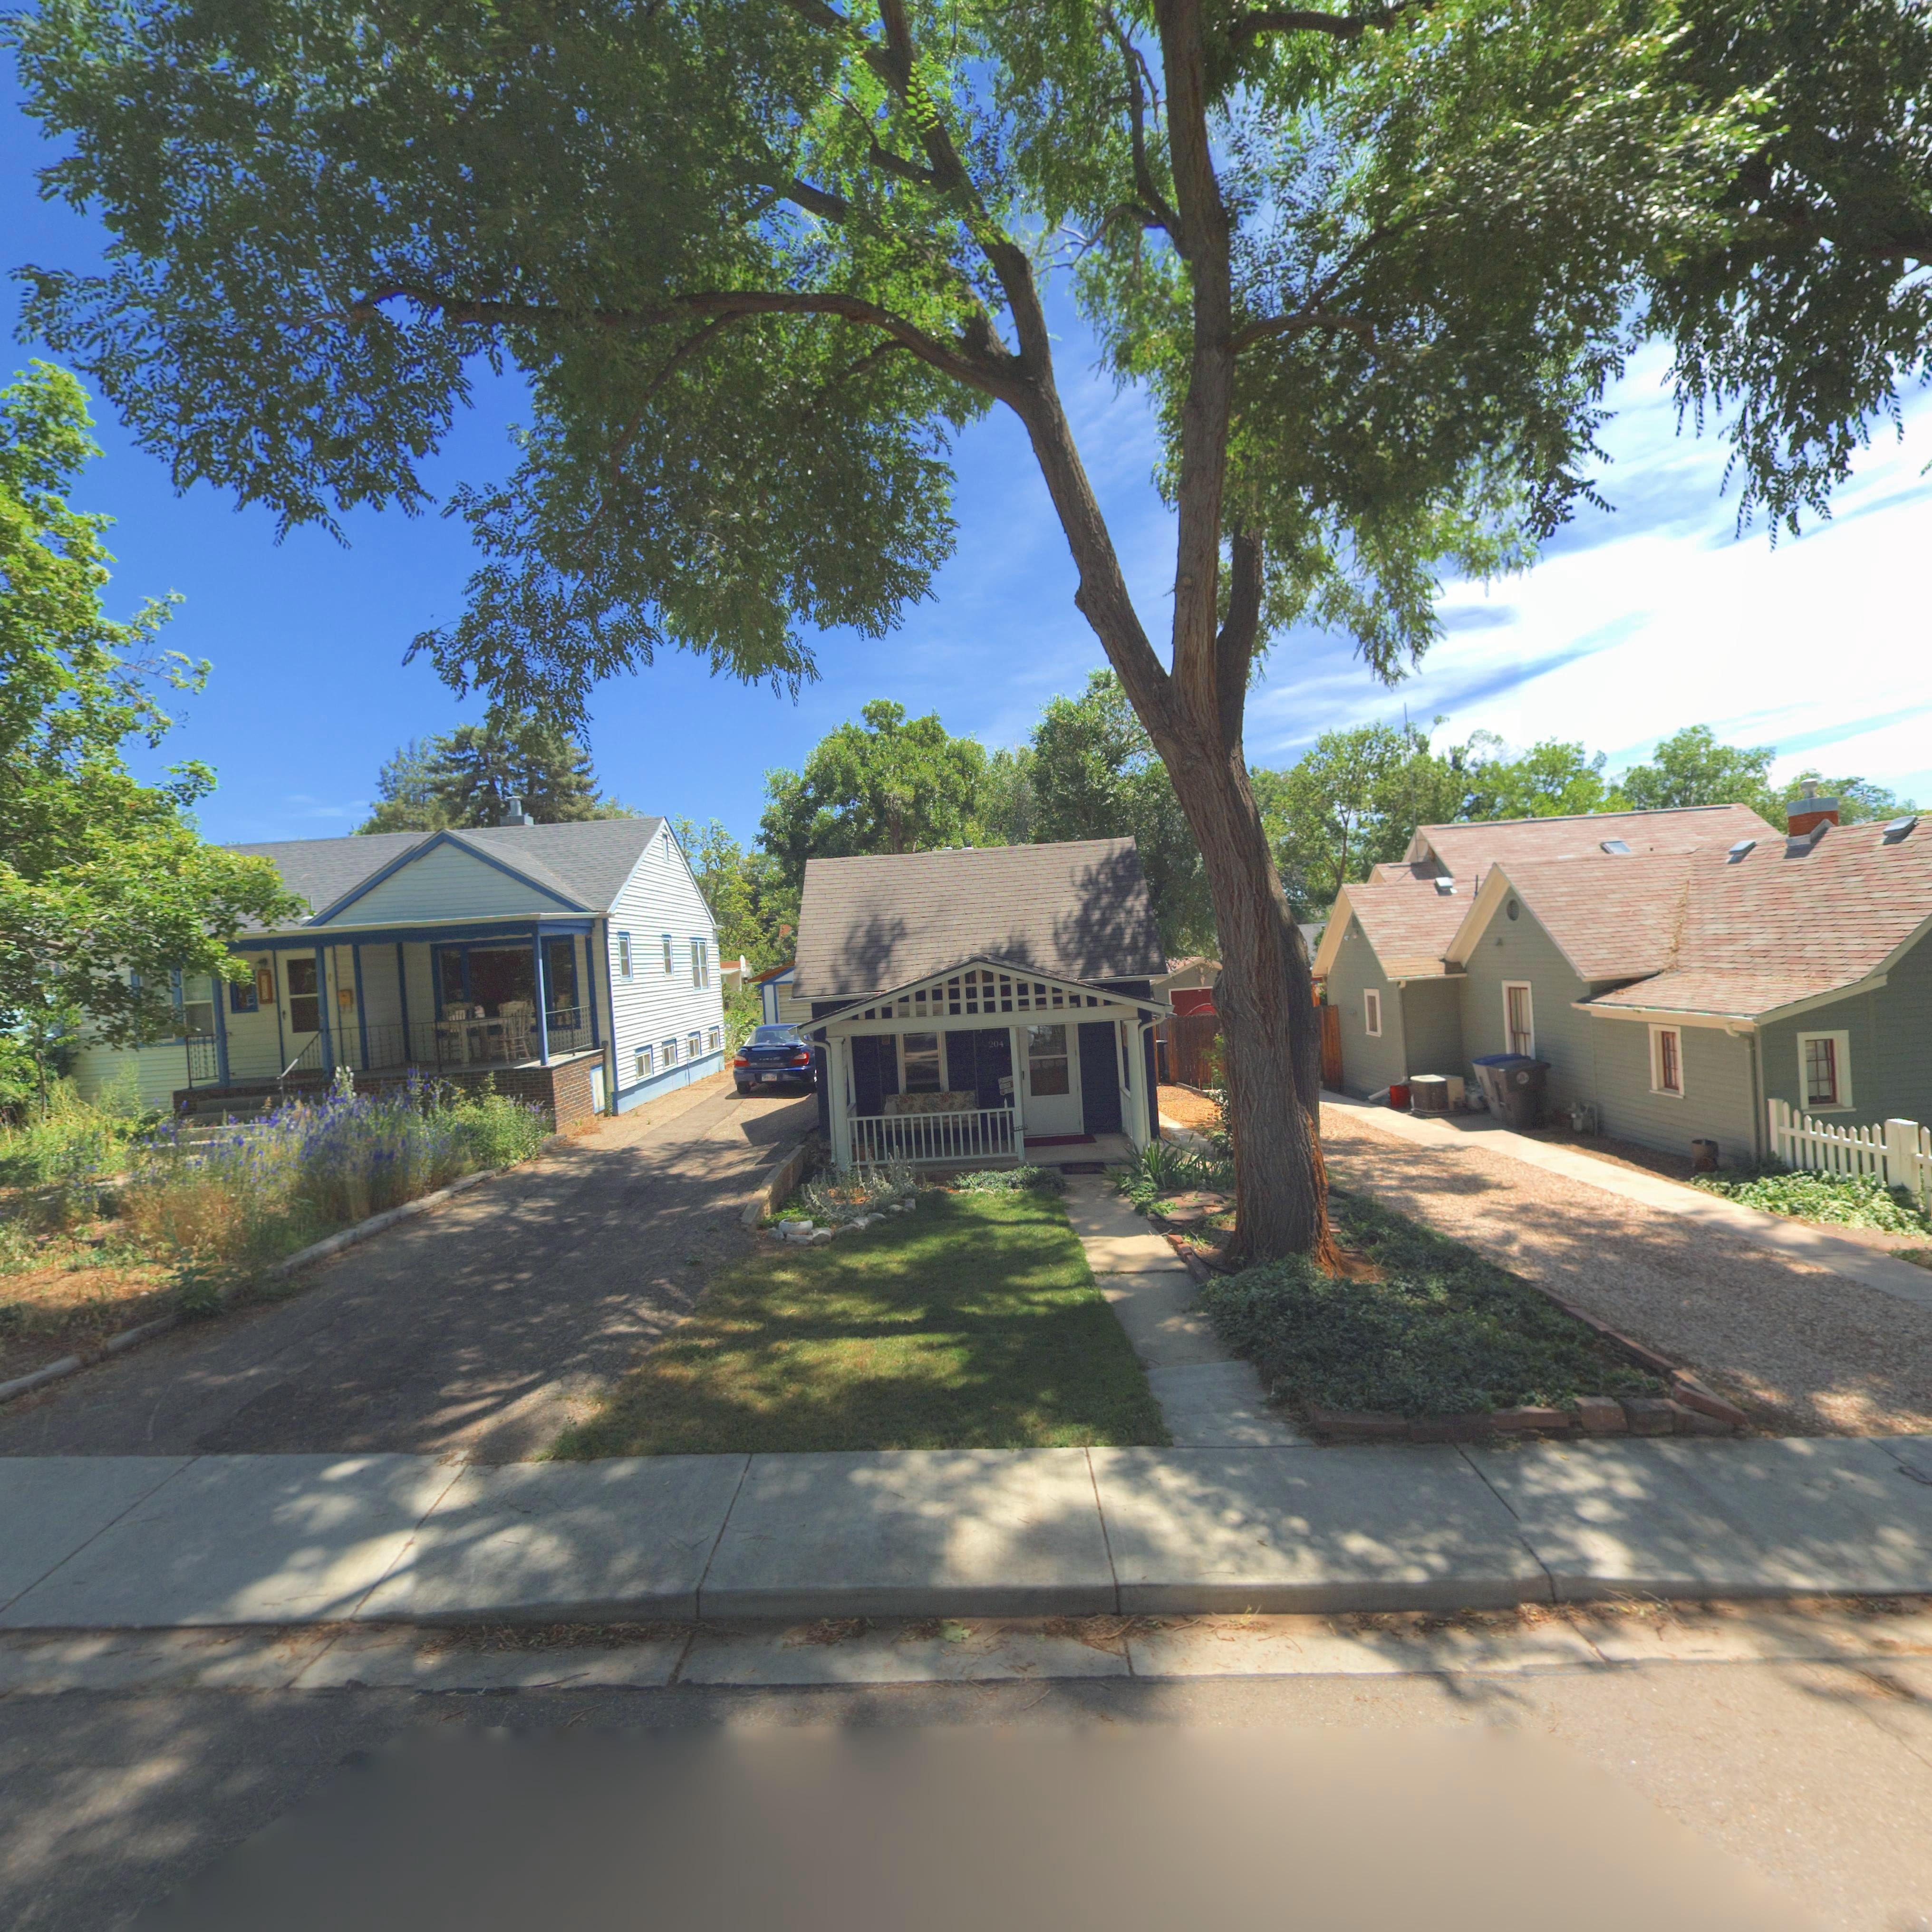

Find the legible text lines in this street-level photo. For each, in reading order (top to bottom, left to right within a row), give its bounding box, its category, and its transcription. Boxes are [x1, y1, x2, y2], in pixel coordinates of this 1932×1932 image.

[988, 1040, 1004, 1047] StreetNumber: 204